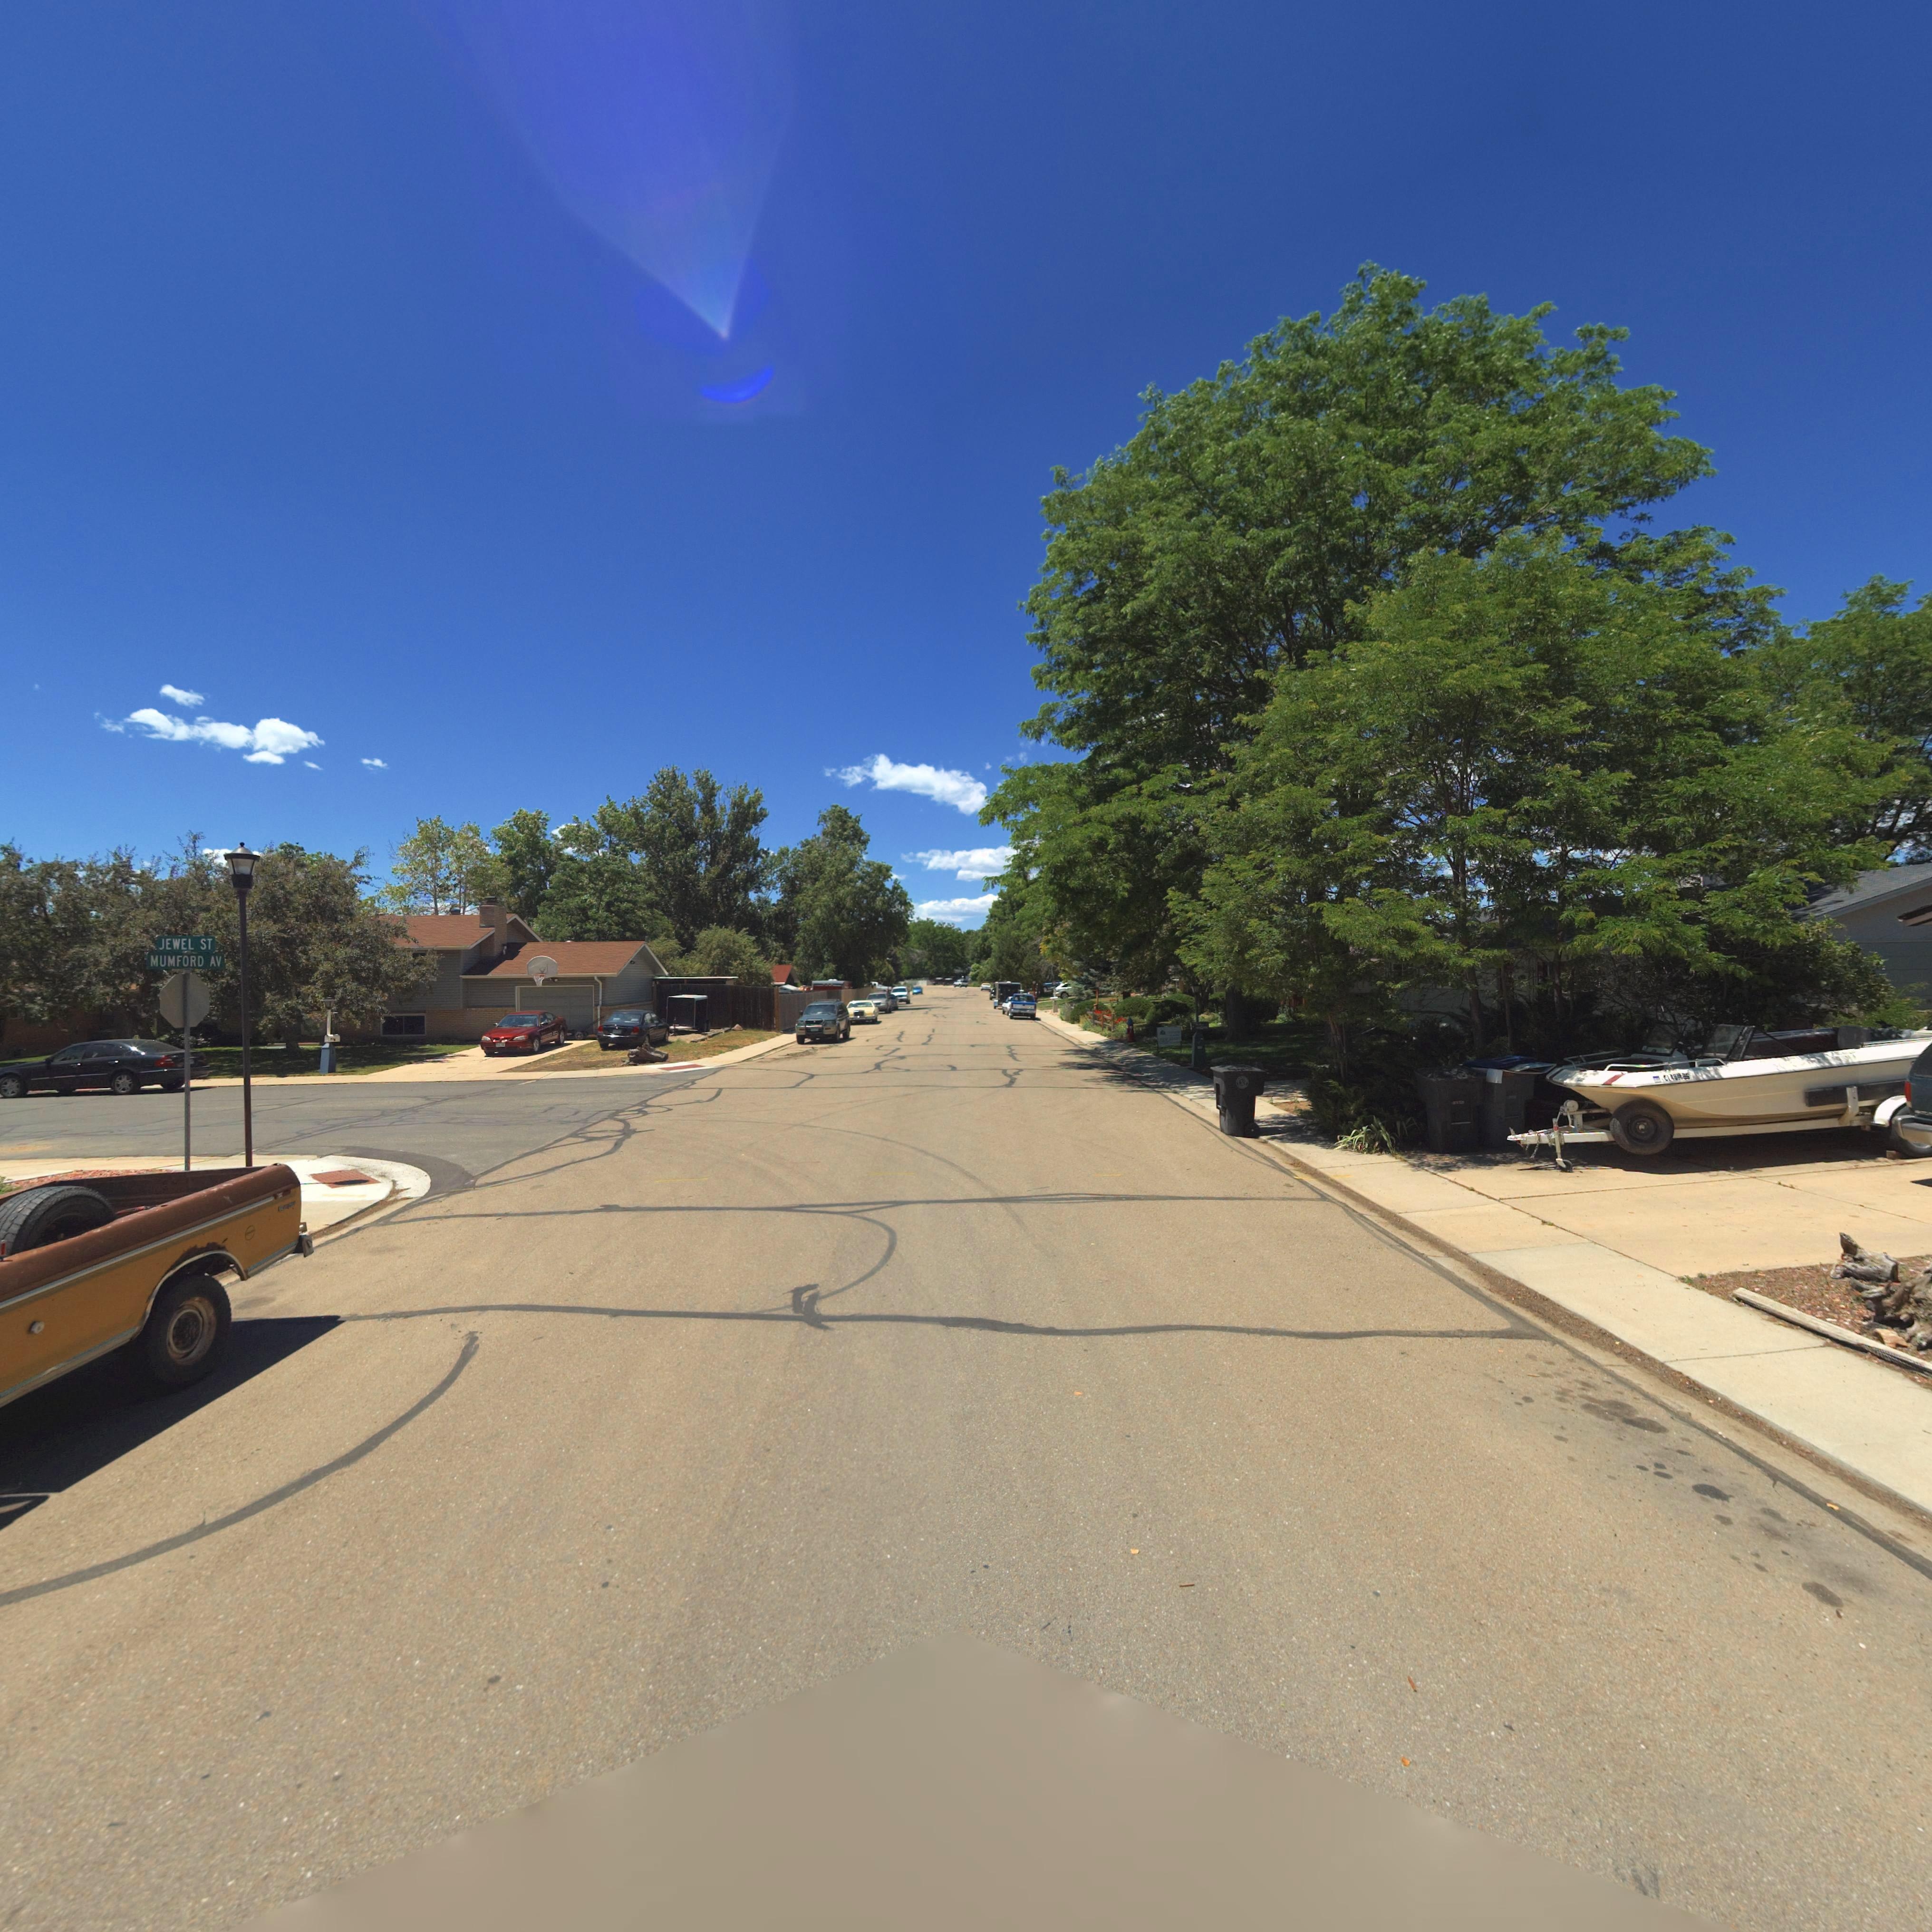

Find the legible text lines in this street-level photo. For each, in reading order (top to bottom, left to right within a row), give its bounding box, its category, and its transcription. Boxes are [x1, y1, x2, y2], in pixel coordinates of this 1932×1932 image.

[157, 937, 214, 951] StreetName: JEWEL ST
[150, 956, 221, 966] StreetName: MUMFORD AV